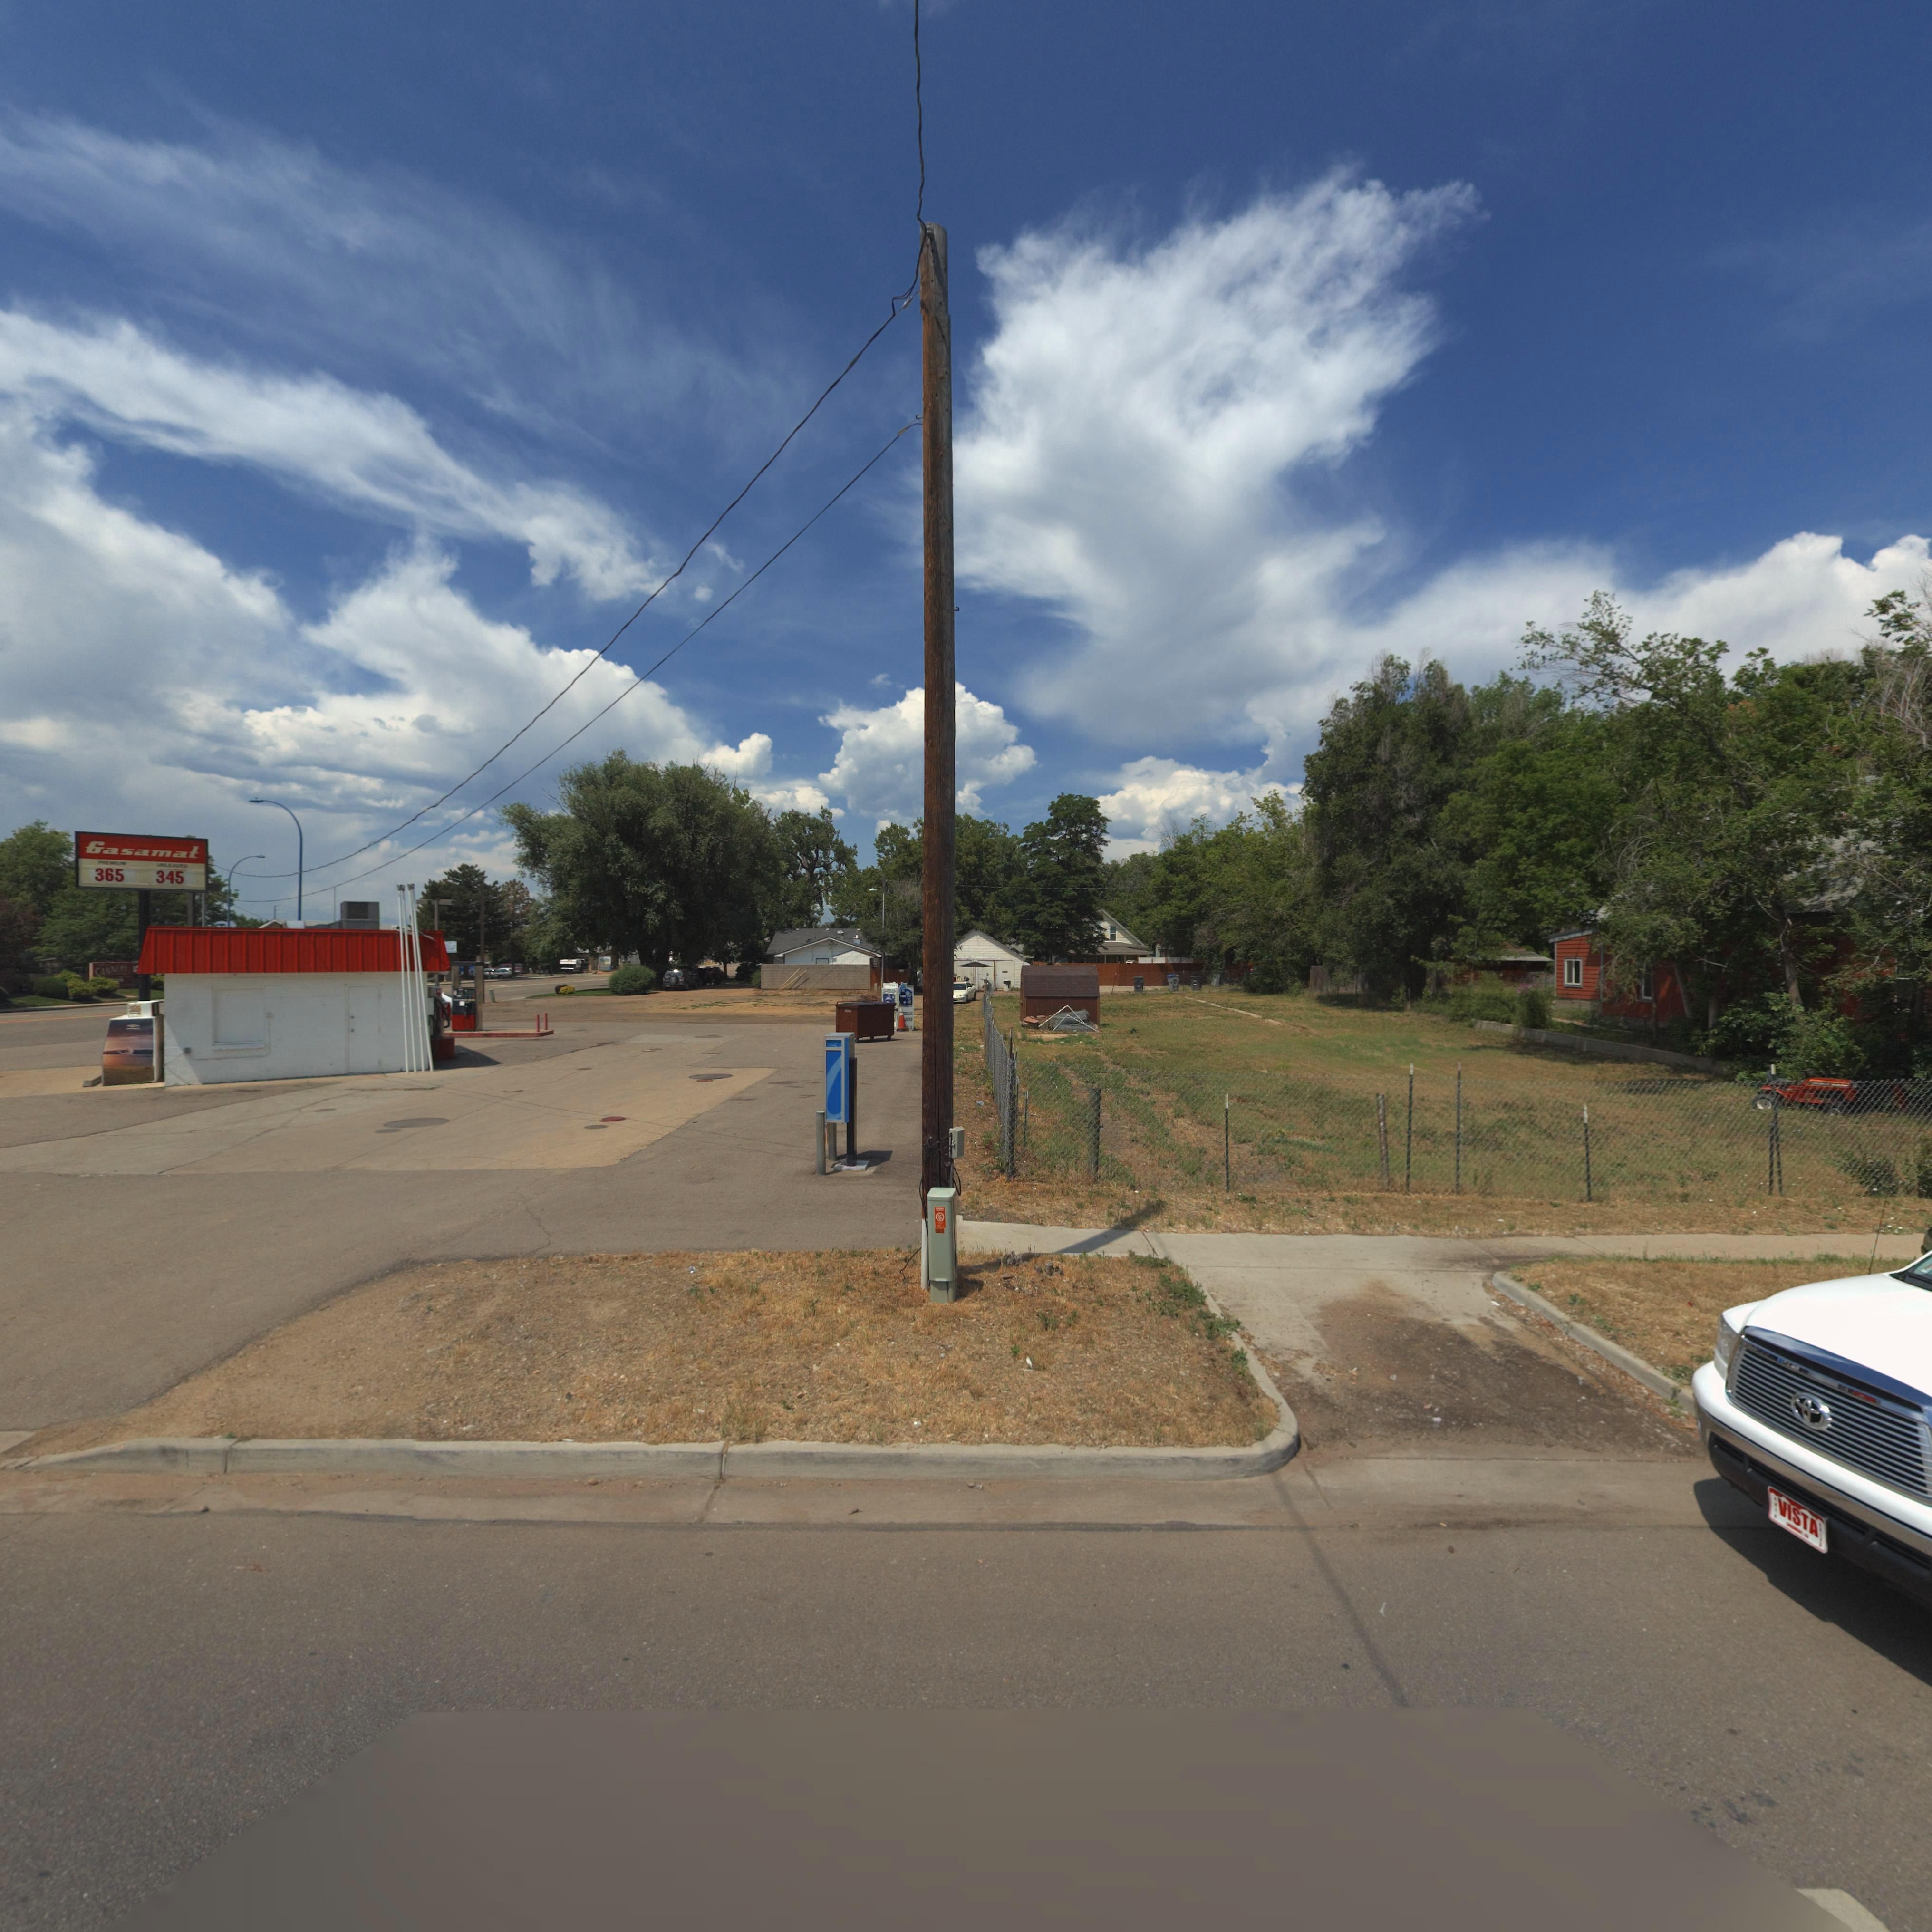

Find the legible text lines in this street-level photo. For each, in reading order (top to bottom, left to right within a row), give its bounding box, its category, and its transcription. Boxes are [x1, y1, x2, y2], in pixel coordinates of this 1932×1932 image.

[85, 840, 200, 859] BusinessName: Gasamat
[94, 964, 127, 978] BusinessName: CANNER*